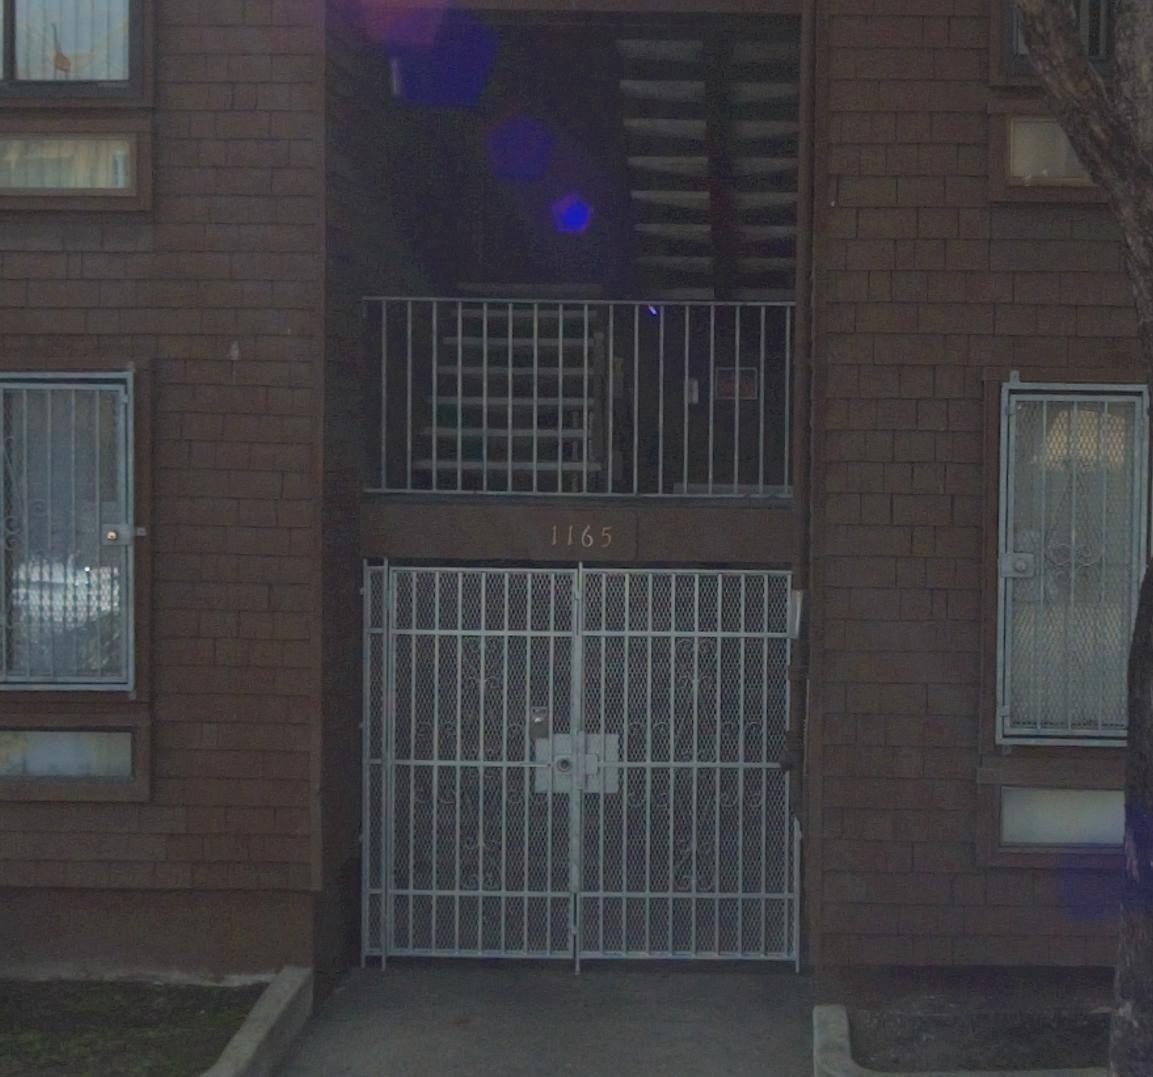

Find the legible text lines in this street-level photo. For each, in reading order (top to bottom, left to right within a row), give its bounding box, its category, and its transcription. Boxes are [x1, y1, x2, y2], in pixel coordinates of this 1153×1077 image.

[549, 523, 614, 550] StreetNumber: 1165